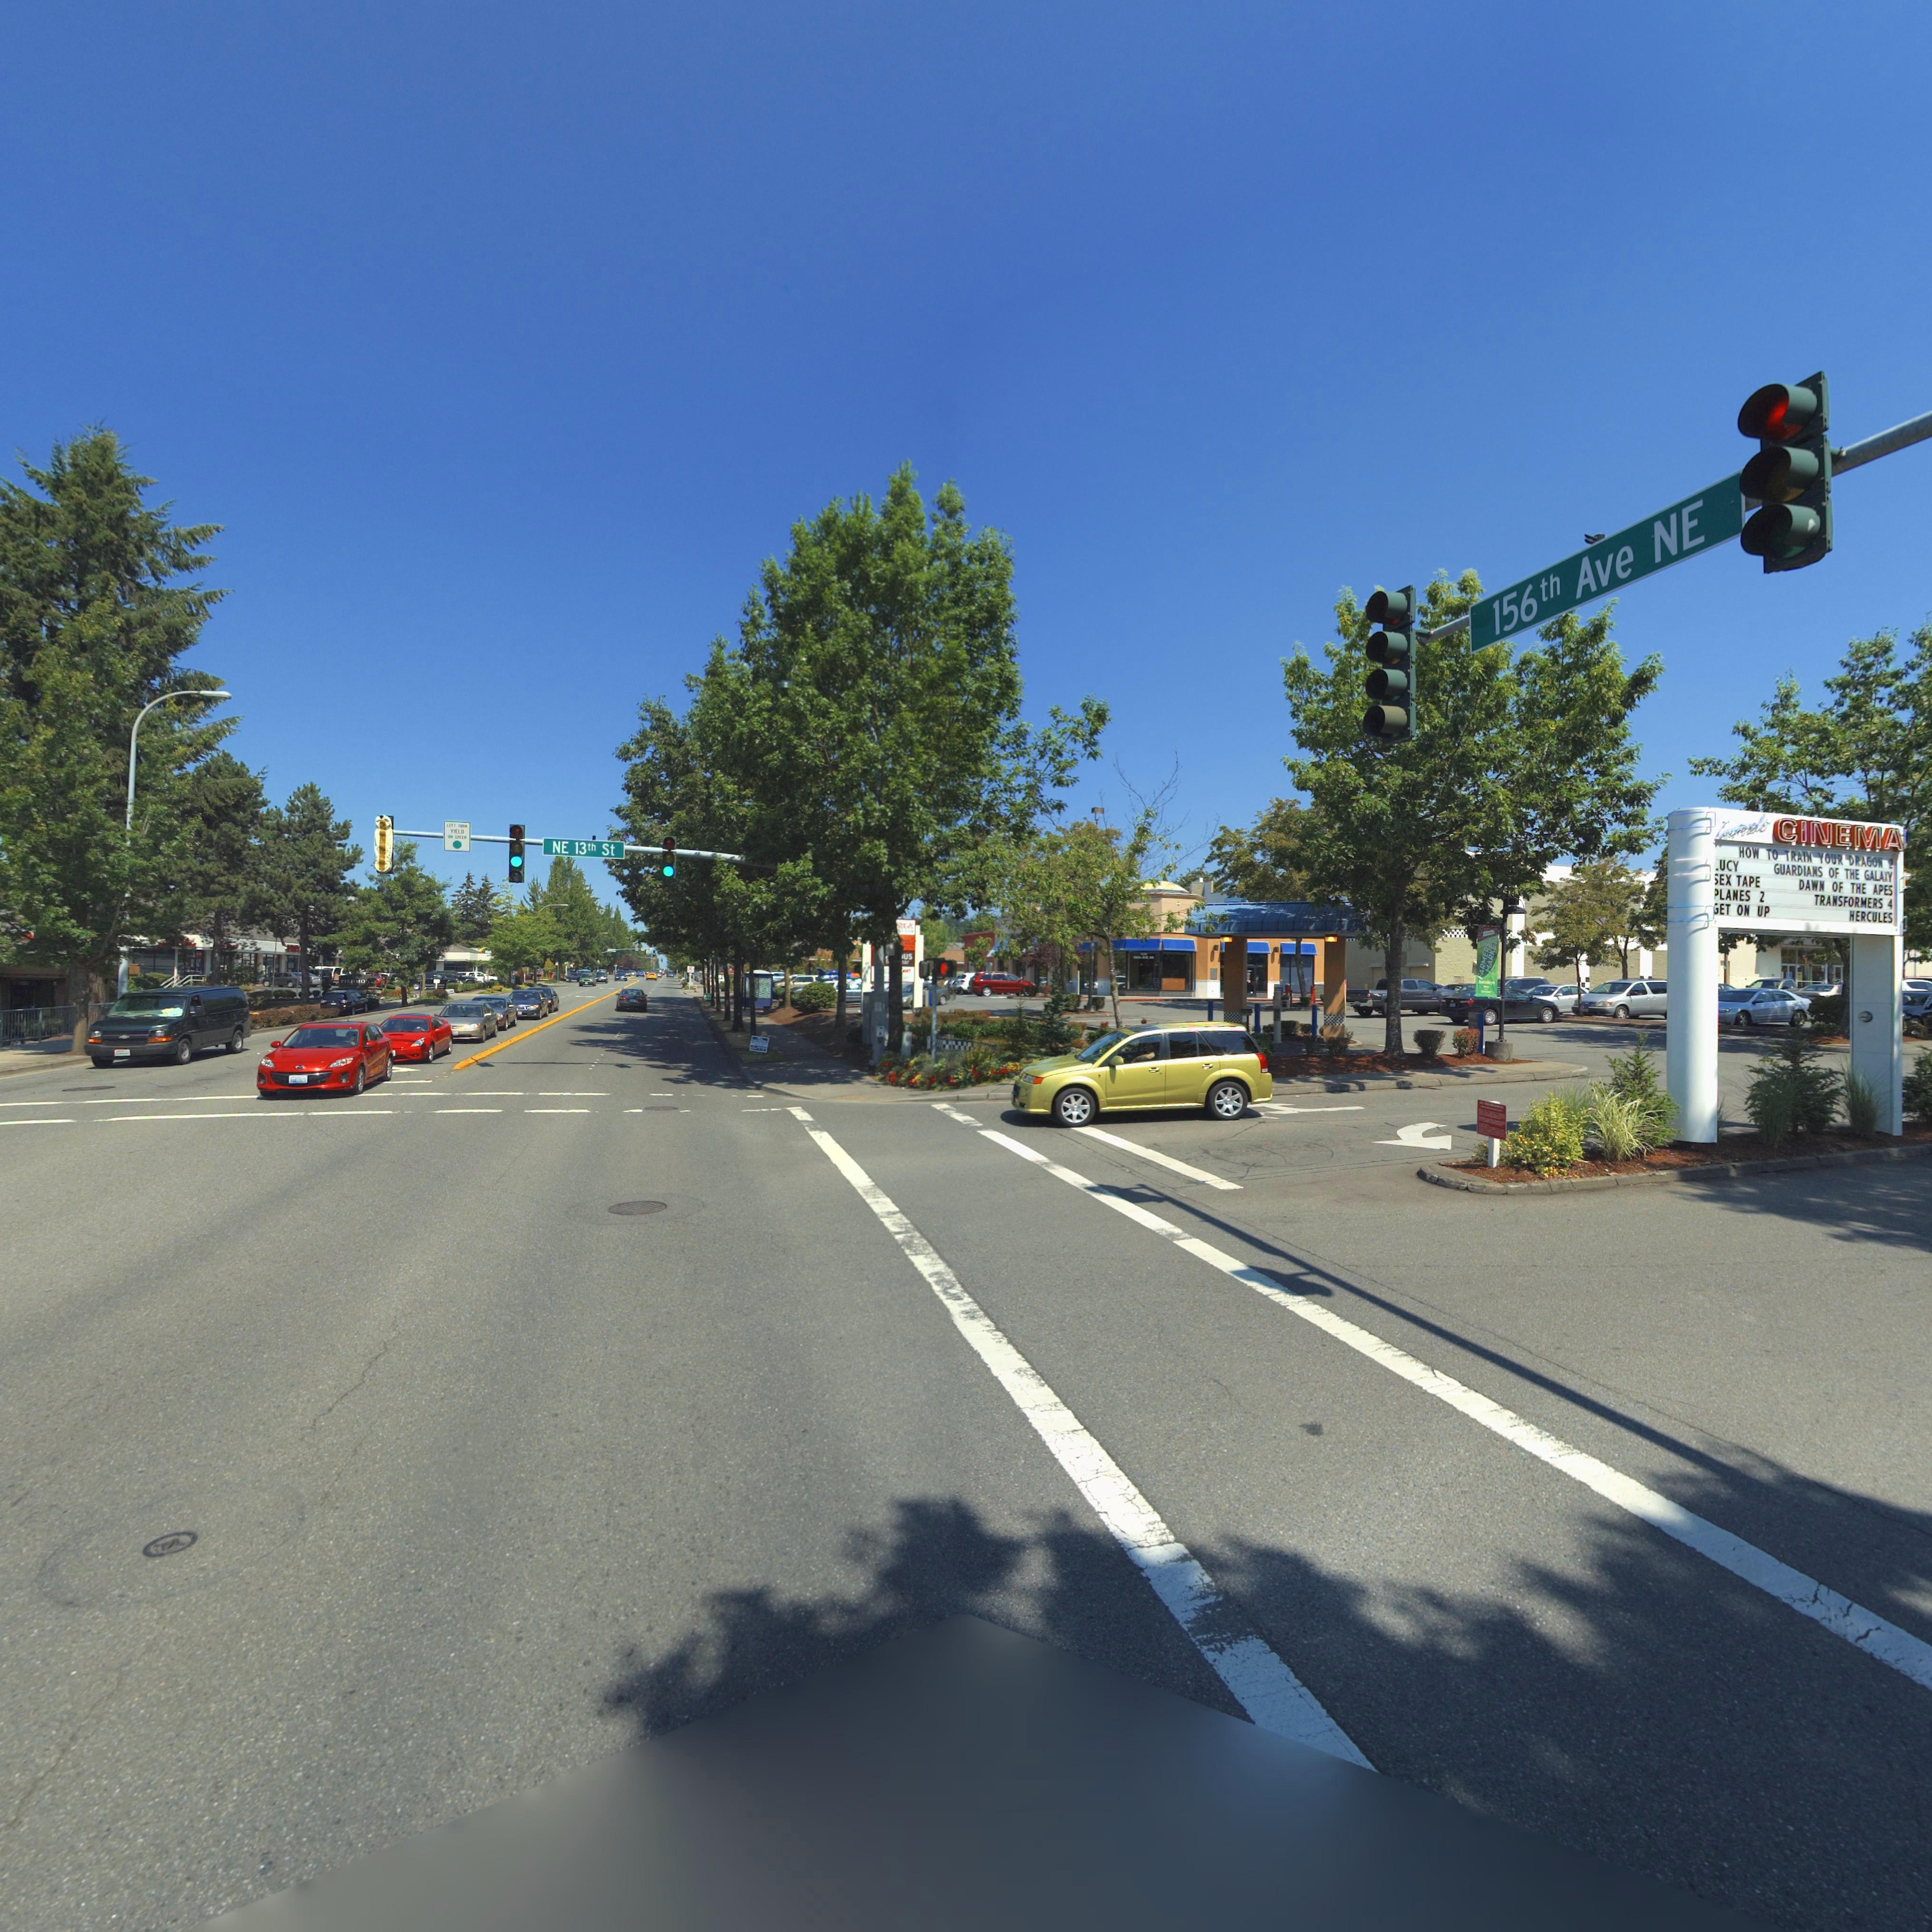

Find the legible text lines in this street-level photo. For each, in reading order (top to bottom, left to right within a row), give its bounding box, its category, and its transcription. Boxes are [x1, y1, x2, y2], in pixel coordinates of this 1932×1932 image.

[1491, 497, 1705, 638] StreetName: 156th Ave NE
[552, 840, 615, 856] StreetName: NE 13th St
[1778, 817, 1905, 851] BusinessName: CINEMA
[903, 952, 912, 960] BusinessName: us